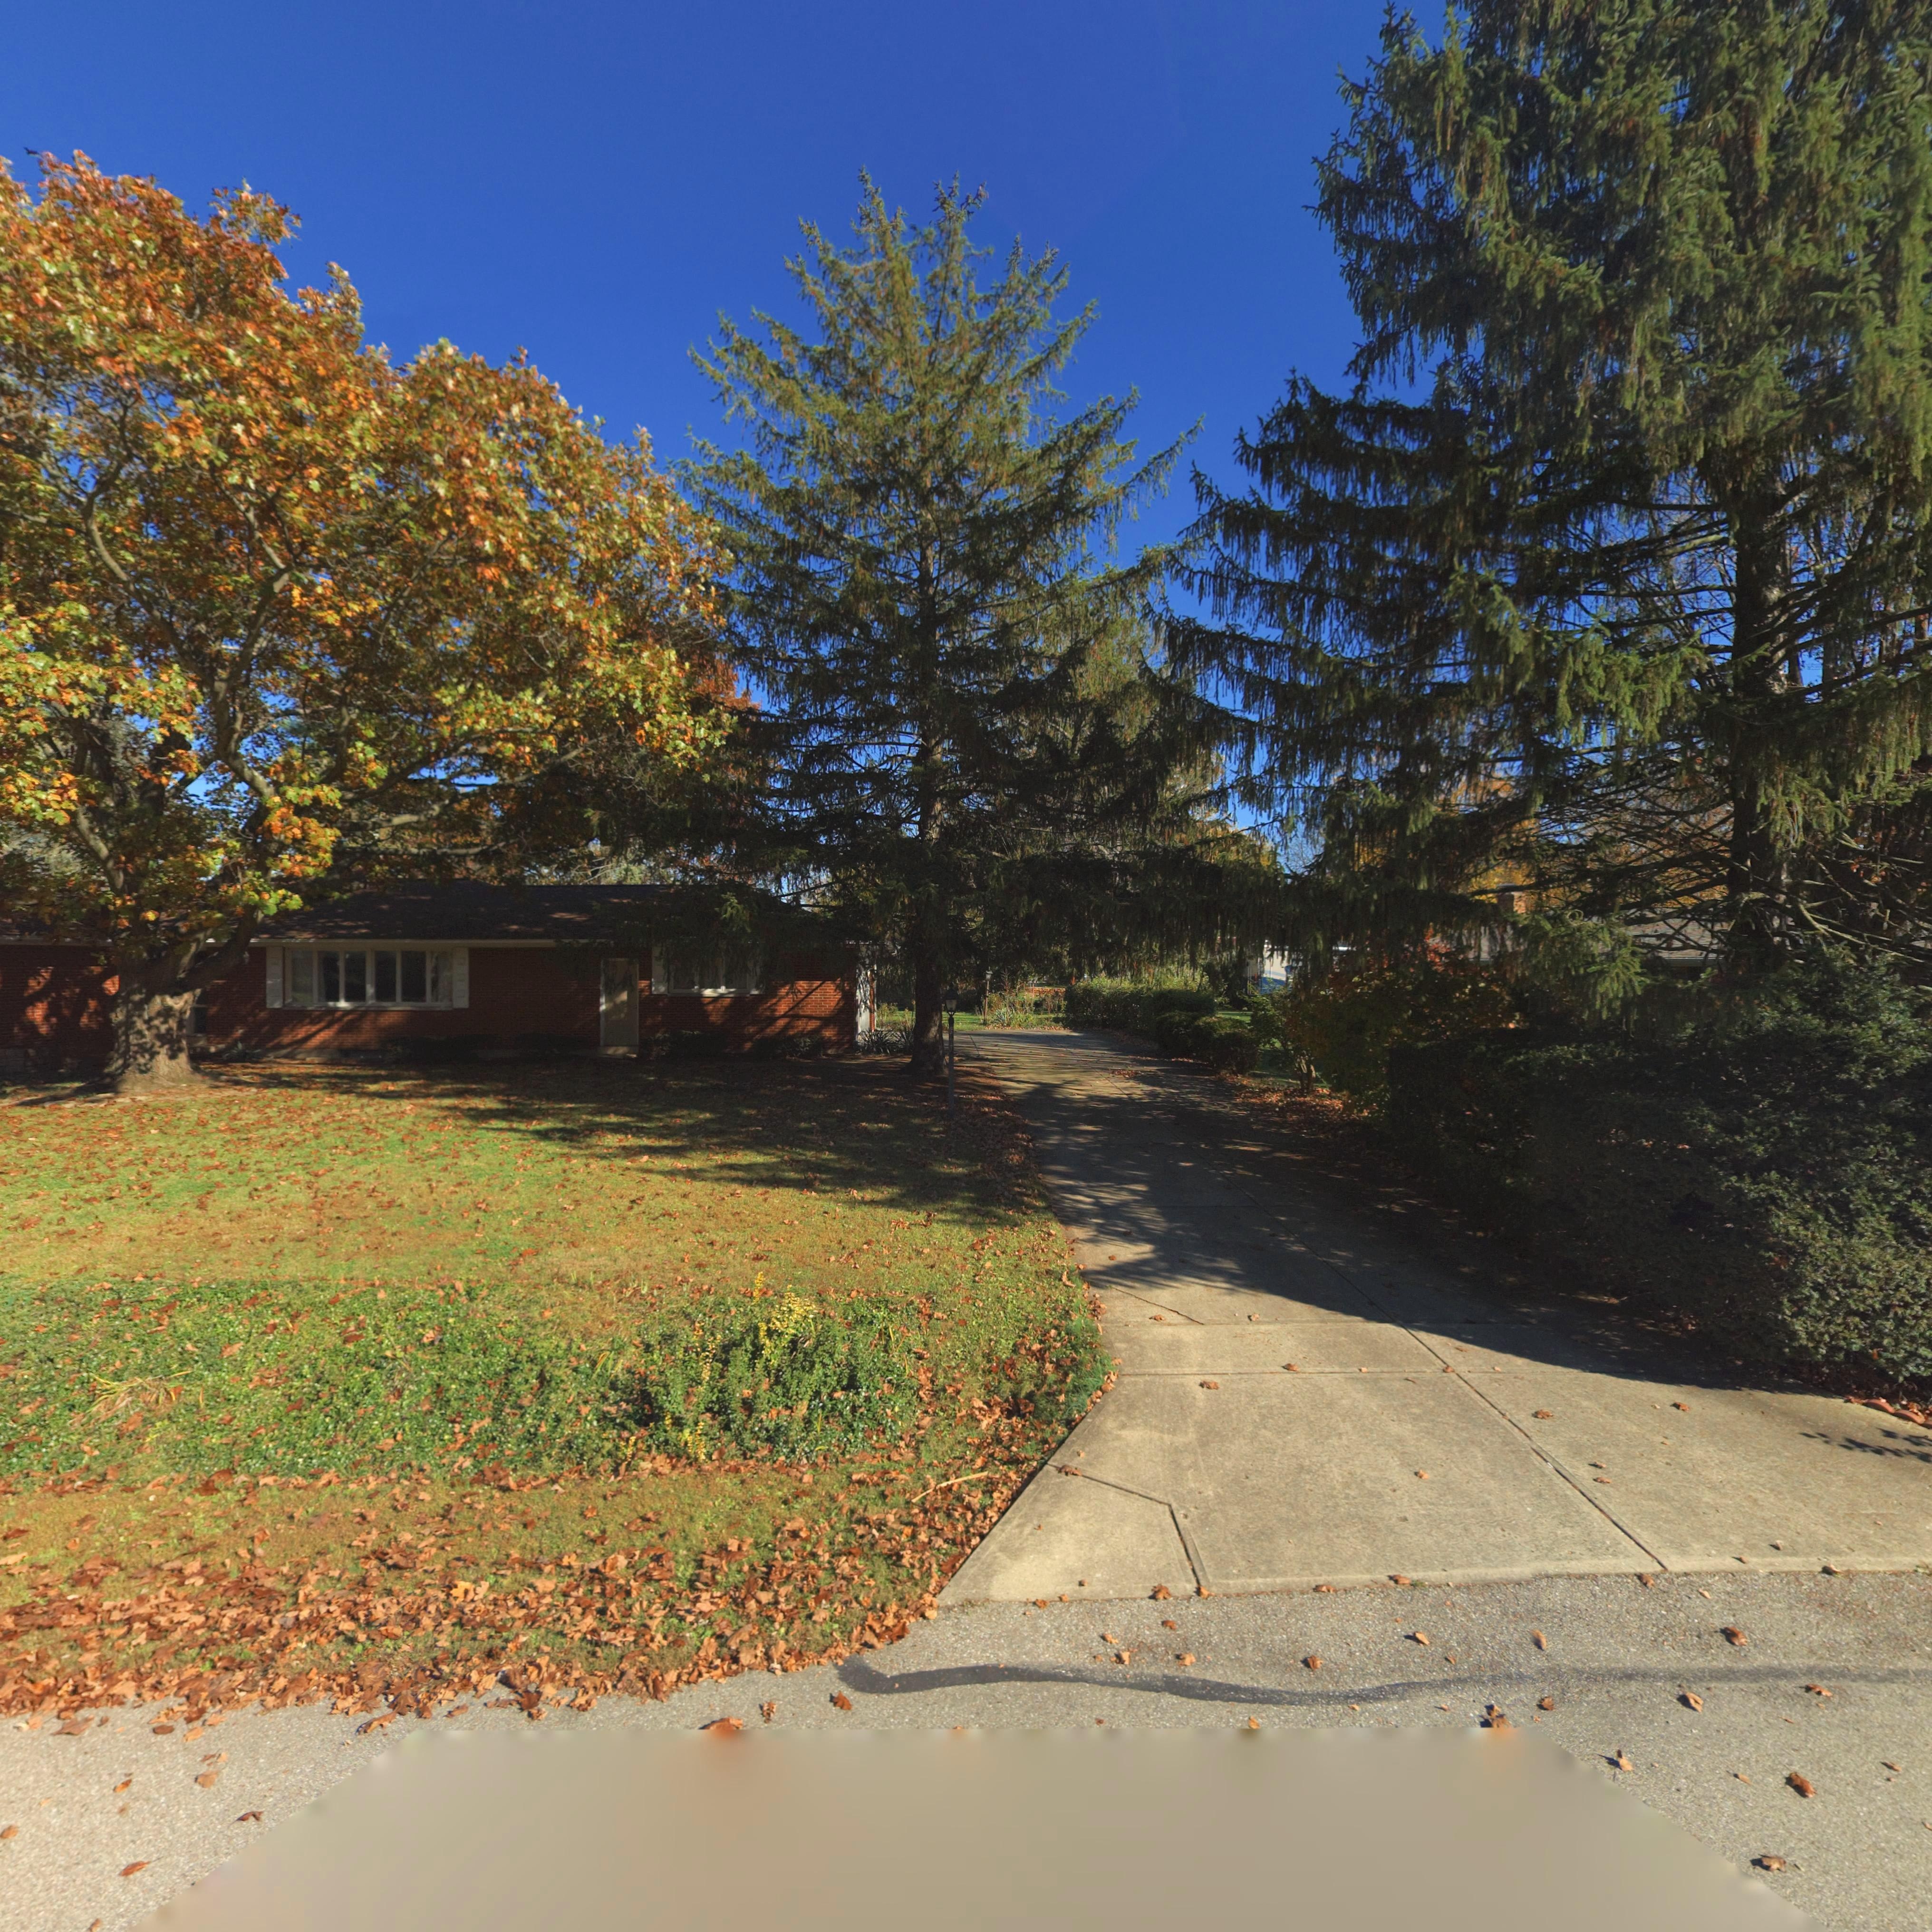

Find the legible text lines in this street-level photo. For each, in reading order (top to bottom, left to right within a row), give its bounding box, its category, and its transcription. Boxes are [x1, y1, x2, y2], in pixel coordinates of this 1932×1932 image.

[949, 1027, 954, 1052] StreetNumber: 6*80